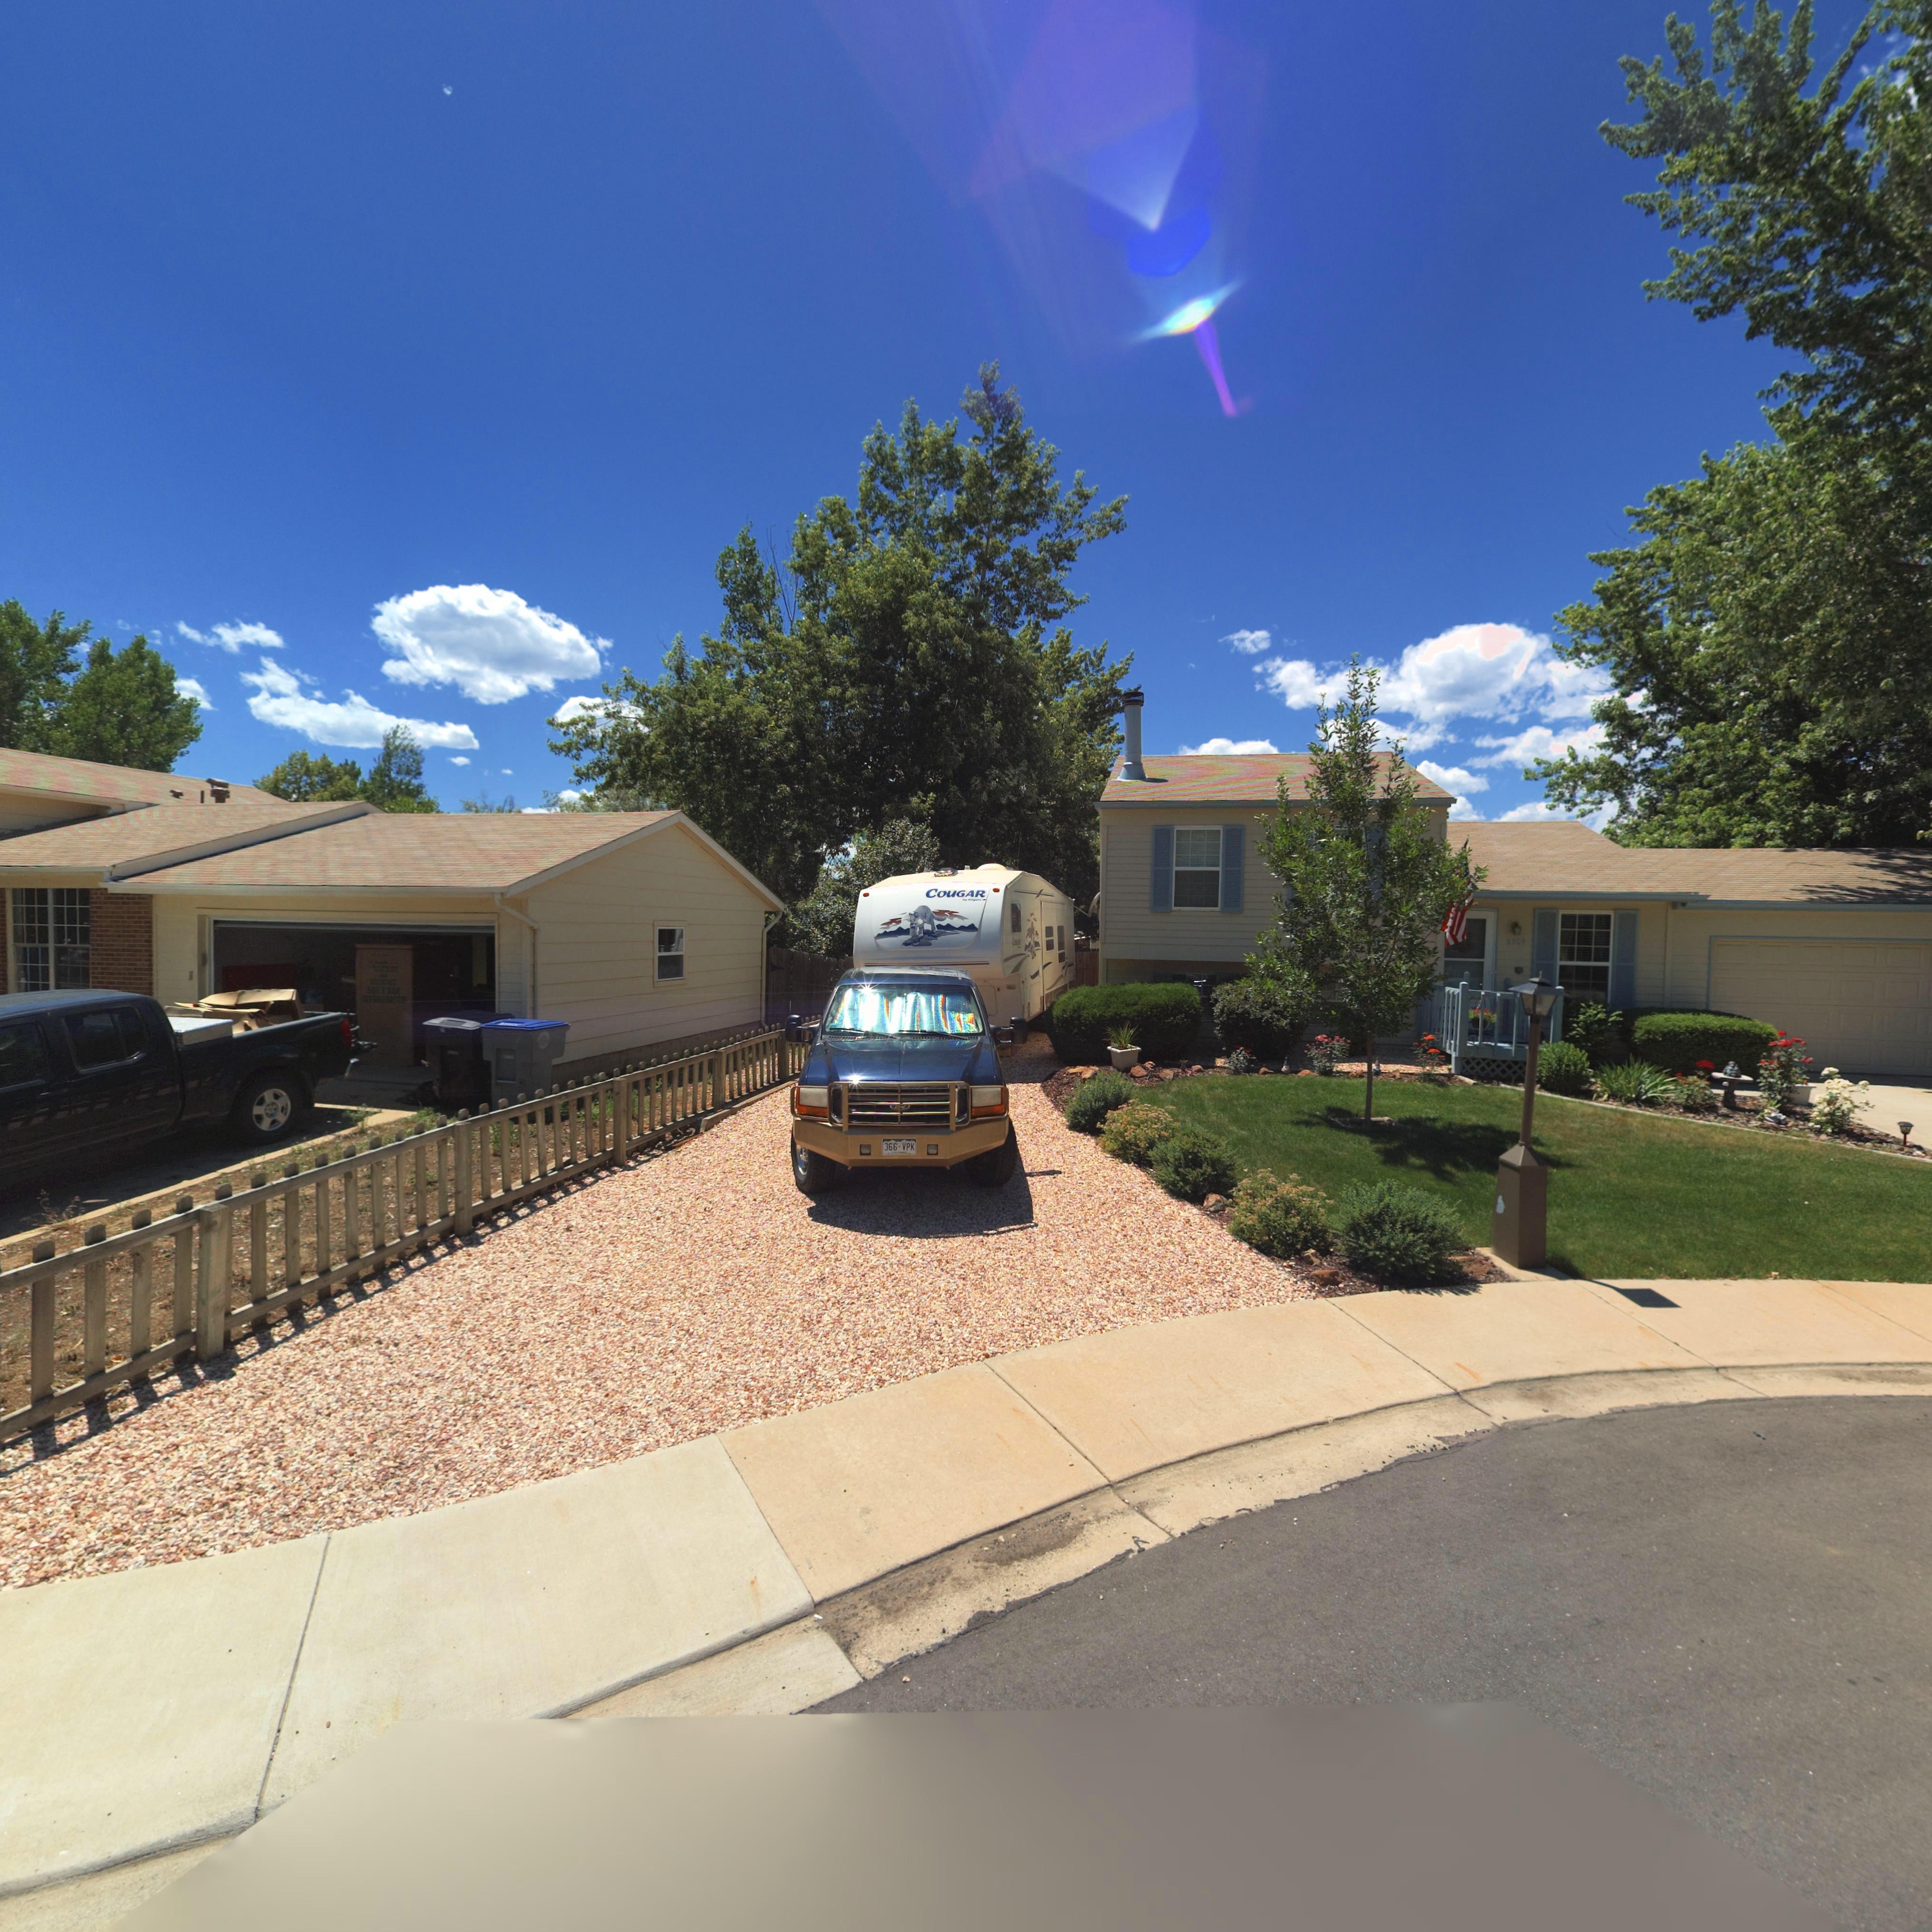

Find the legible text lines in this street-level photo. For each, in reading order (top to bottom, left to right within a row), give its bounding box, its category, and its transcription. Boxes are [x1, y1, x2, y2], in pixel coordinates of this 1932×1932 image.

[1506, 937, 1526, 945] StreetNumber: 2309